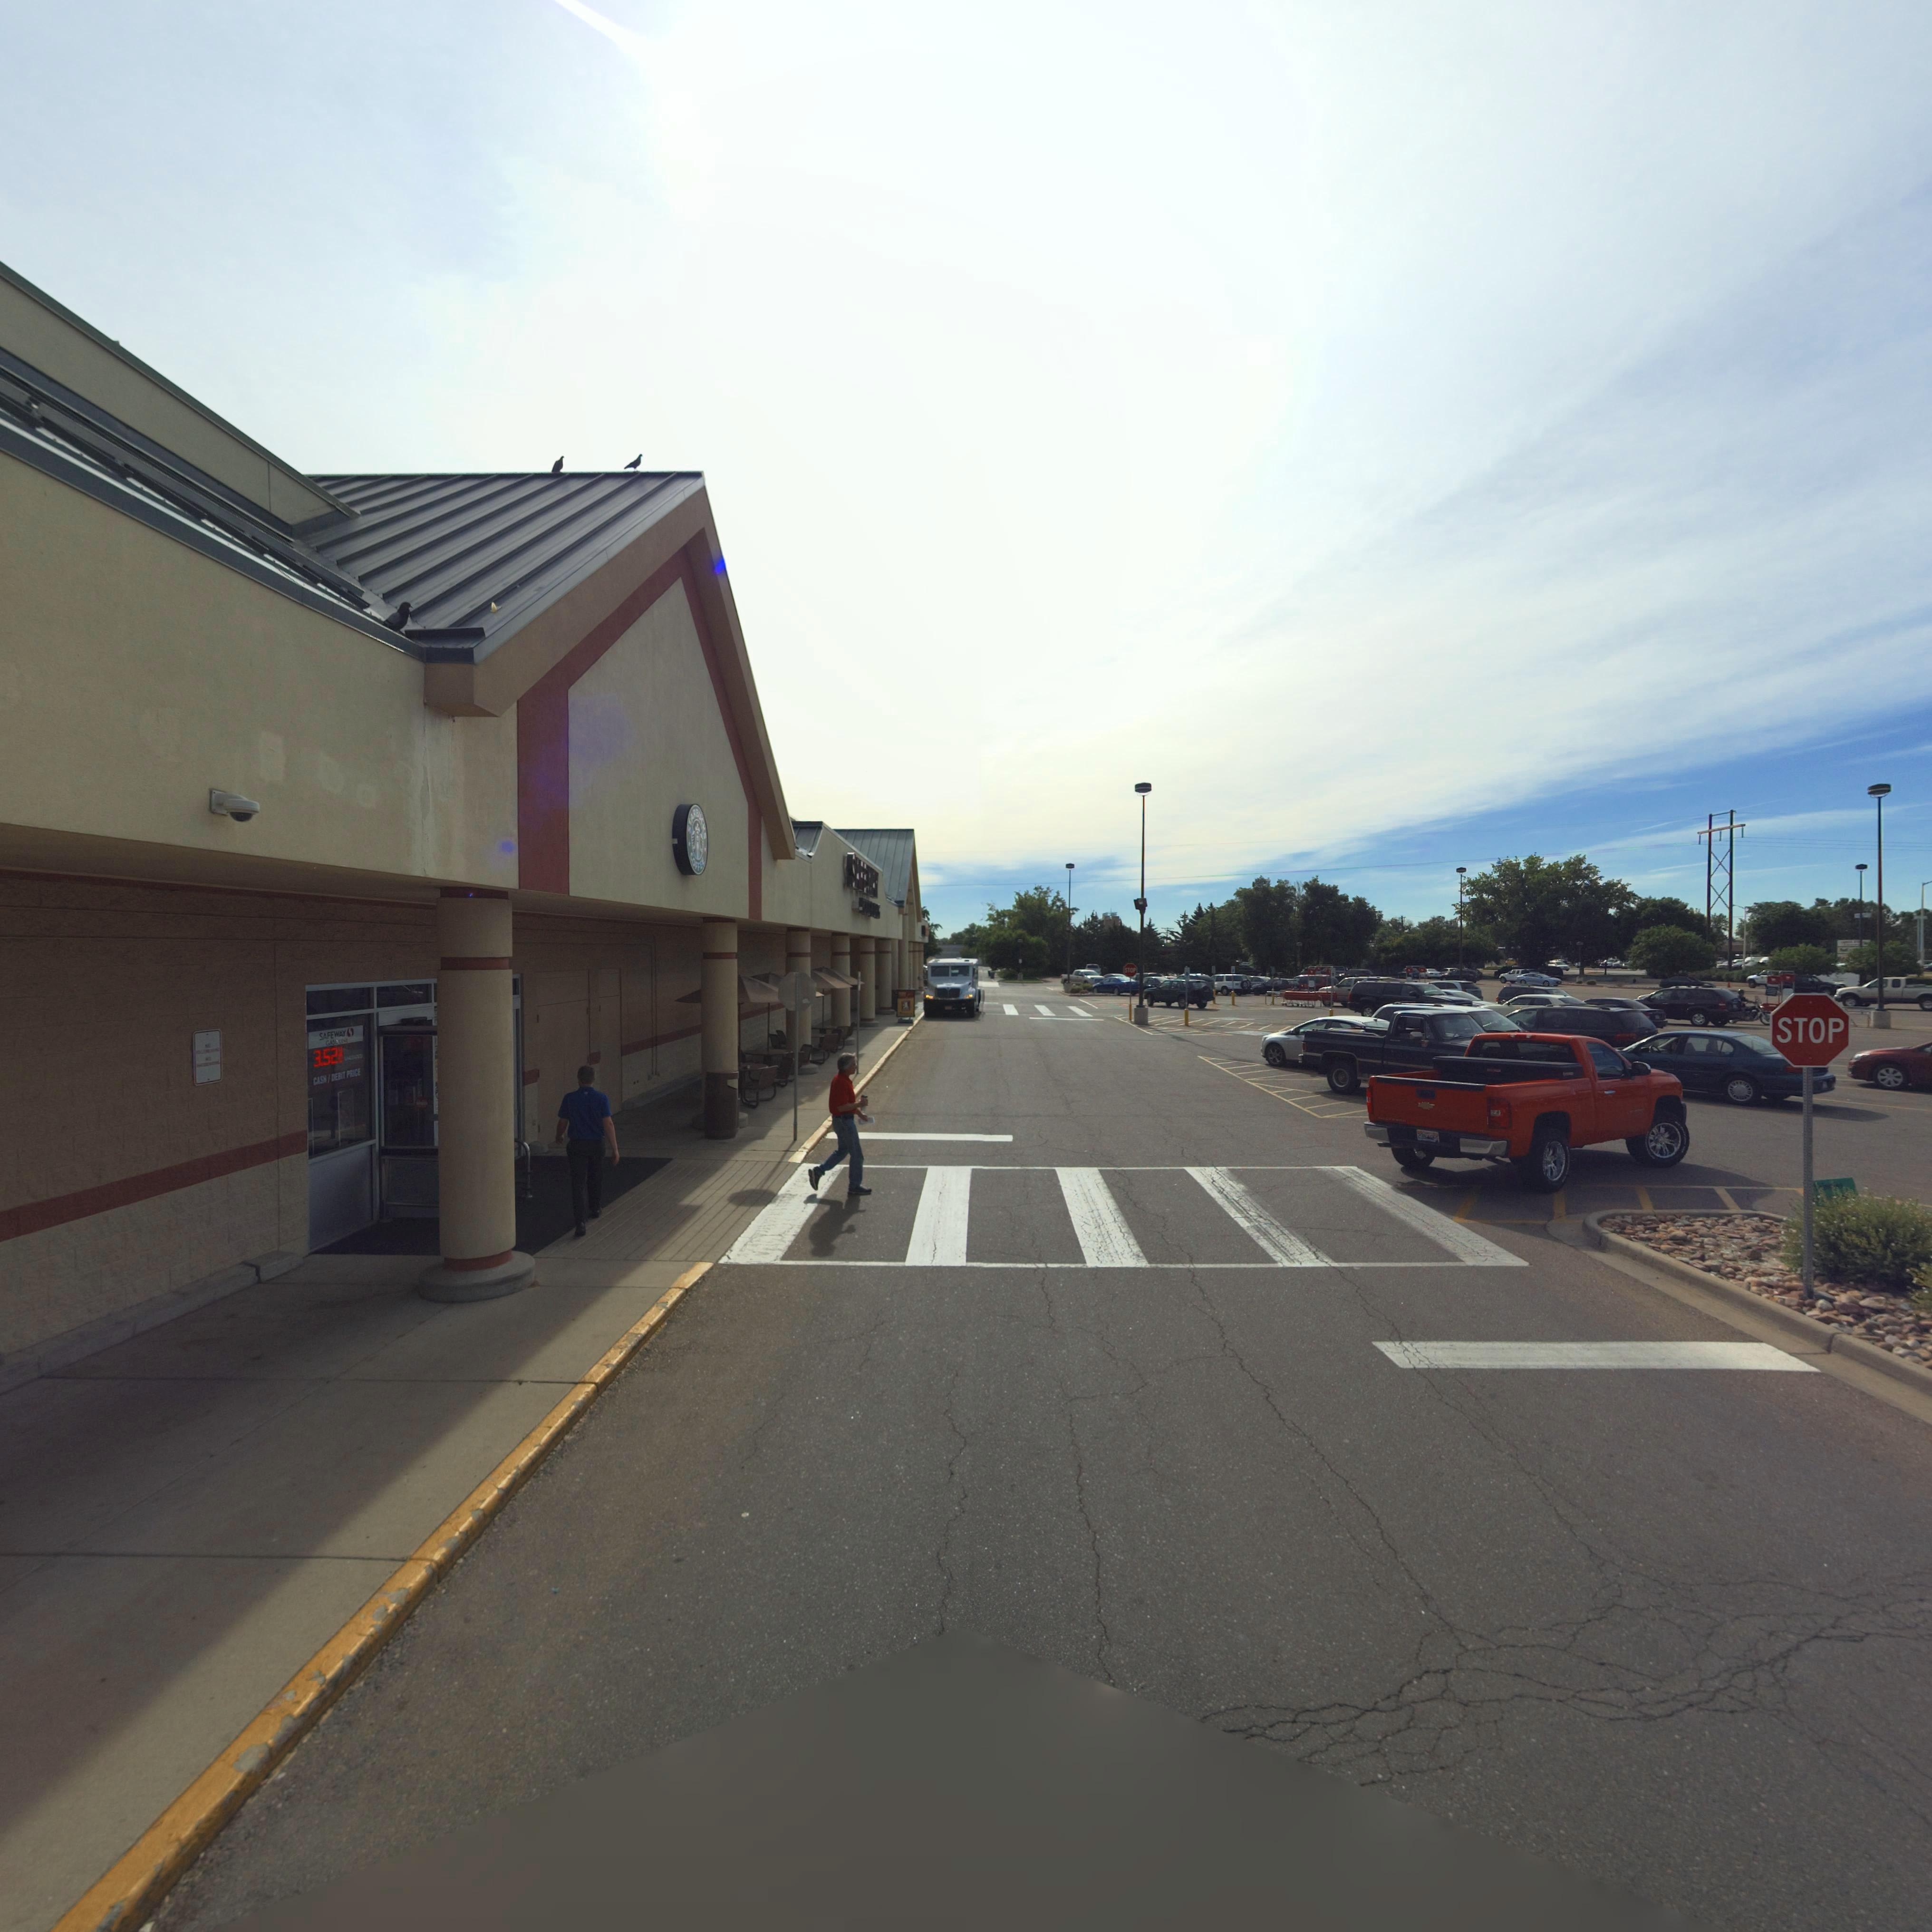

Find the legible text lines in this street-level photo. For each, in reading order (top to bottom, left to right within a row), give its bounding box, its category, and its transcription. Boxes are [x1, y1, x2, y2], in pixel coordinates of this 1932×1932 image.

[849, 852, 879, 899] BusinessName: SAFE***
[319, 1029, 346, 1041] BusinessName: SAFEWAY